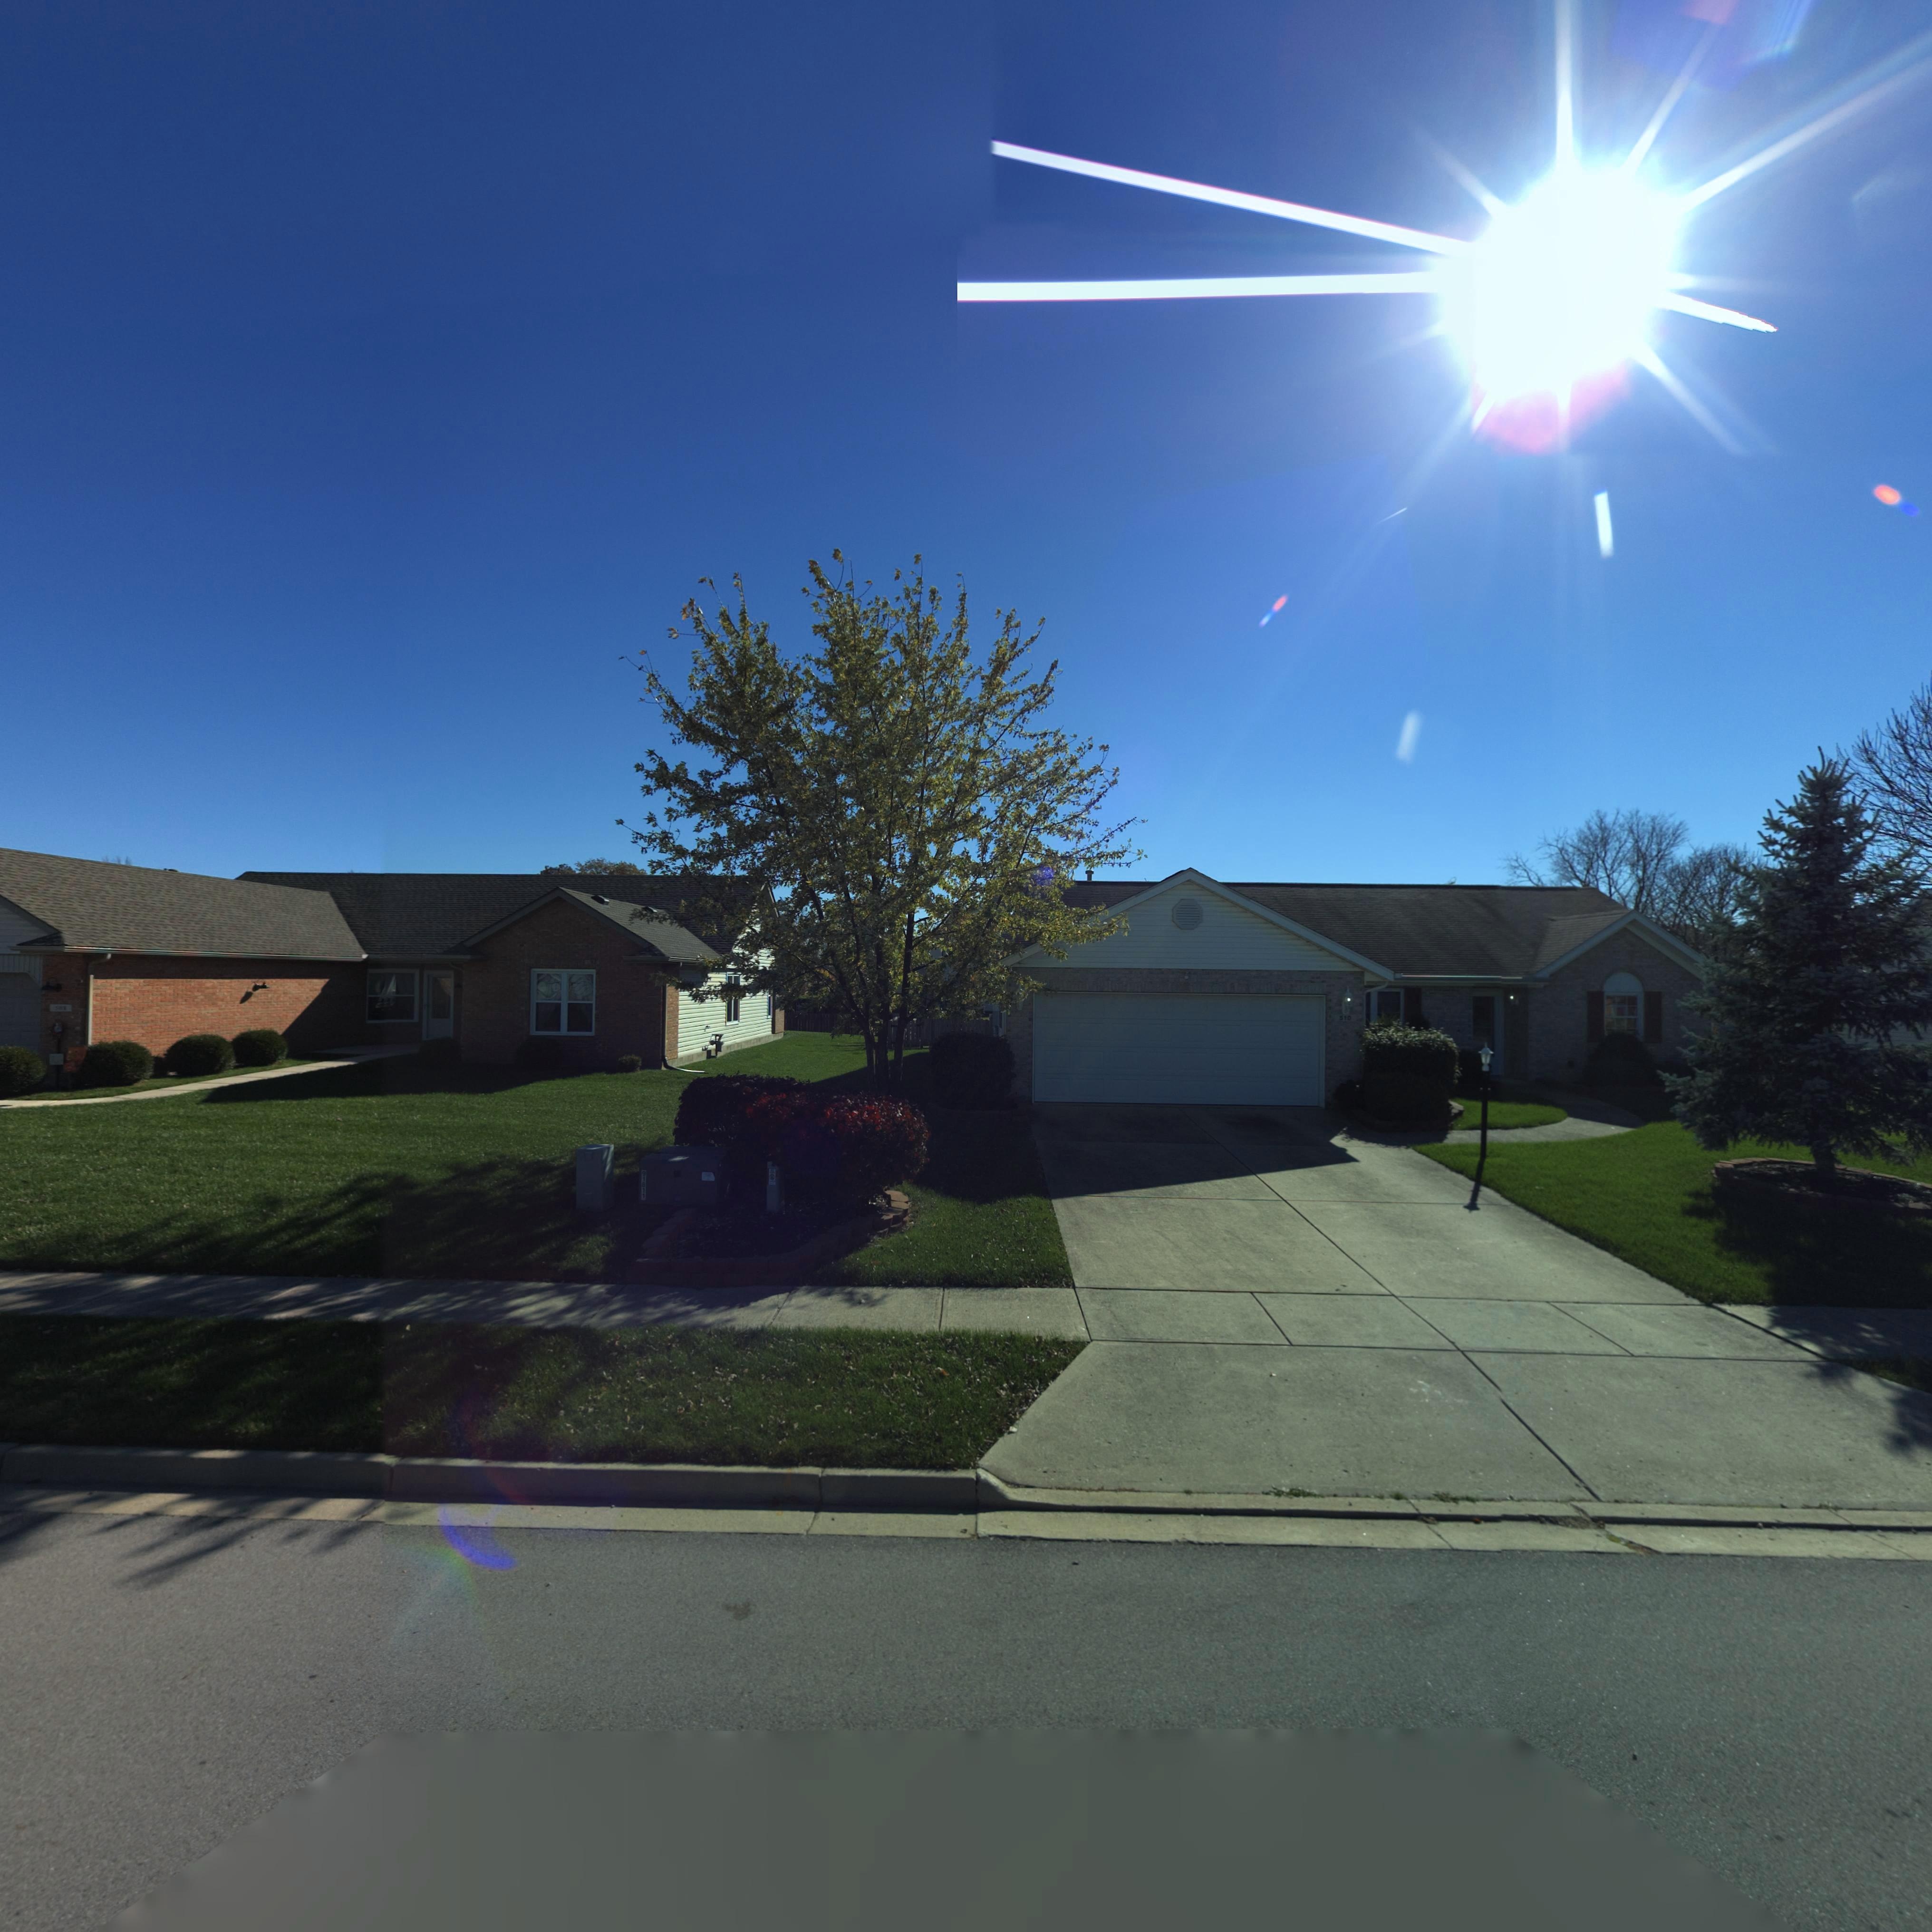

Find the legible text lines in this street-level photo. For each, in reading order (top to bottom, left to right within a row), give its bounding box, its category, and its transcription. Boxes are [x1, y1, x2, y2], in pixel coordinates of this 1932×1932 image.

[1339, 1015, 1352, 1022] StreetNumber: 510